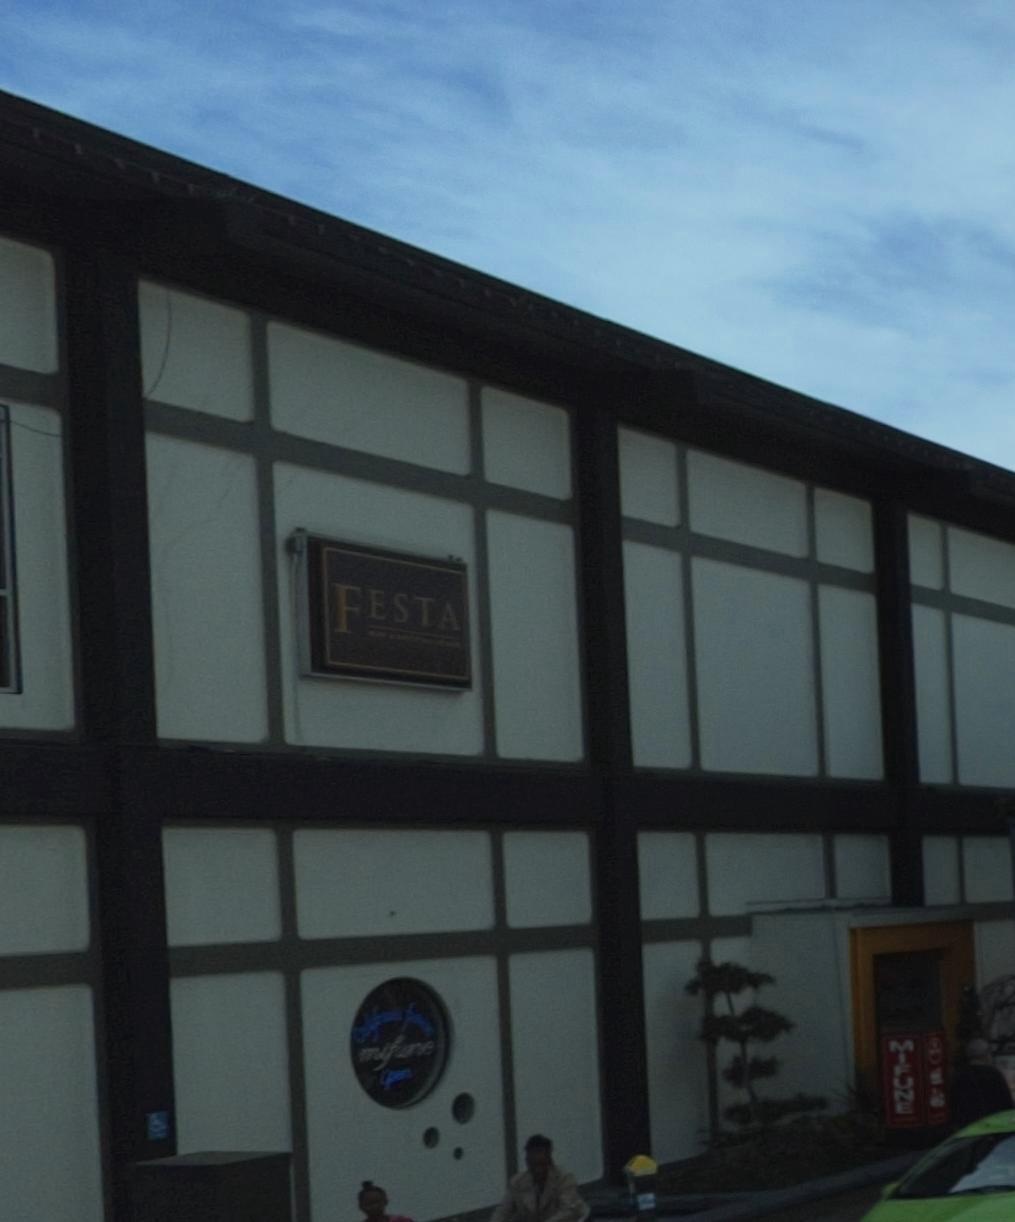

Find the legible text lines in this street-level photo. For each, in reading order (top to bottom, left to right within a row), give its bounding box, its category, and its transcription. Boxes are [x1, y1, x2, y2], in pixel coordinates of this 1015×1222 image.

[329, 579, 464, 638] BusinessName: FESTA
[373, 1065, 417, 1095] None: Open
[354, 1030, 440, 1074] BusinessName: mifune
[886, 1034, 918, 1118] BusinessName: MIFUNE